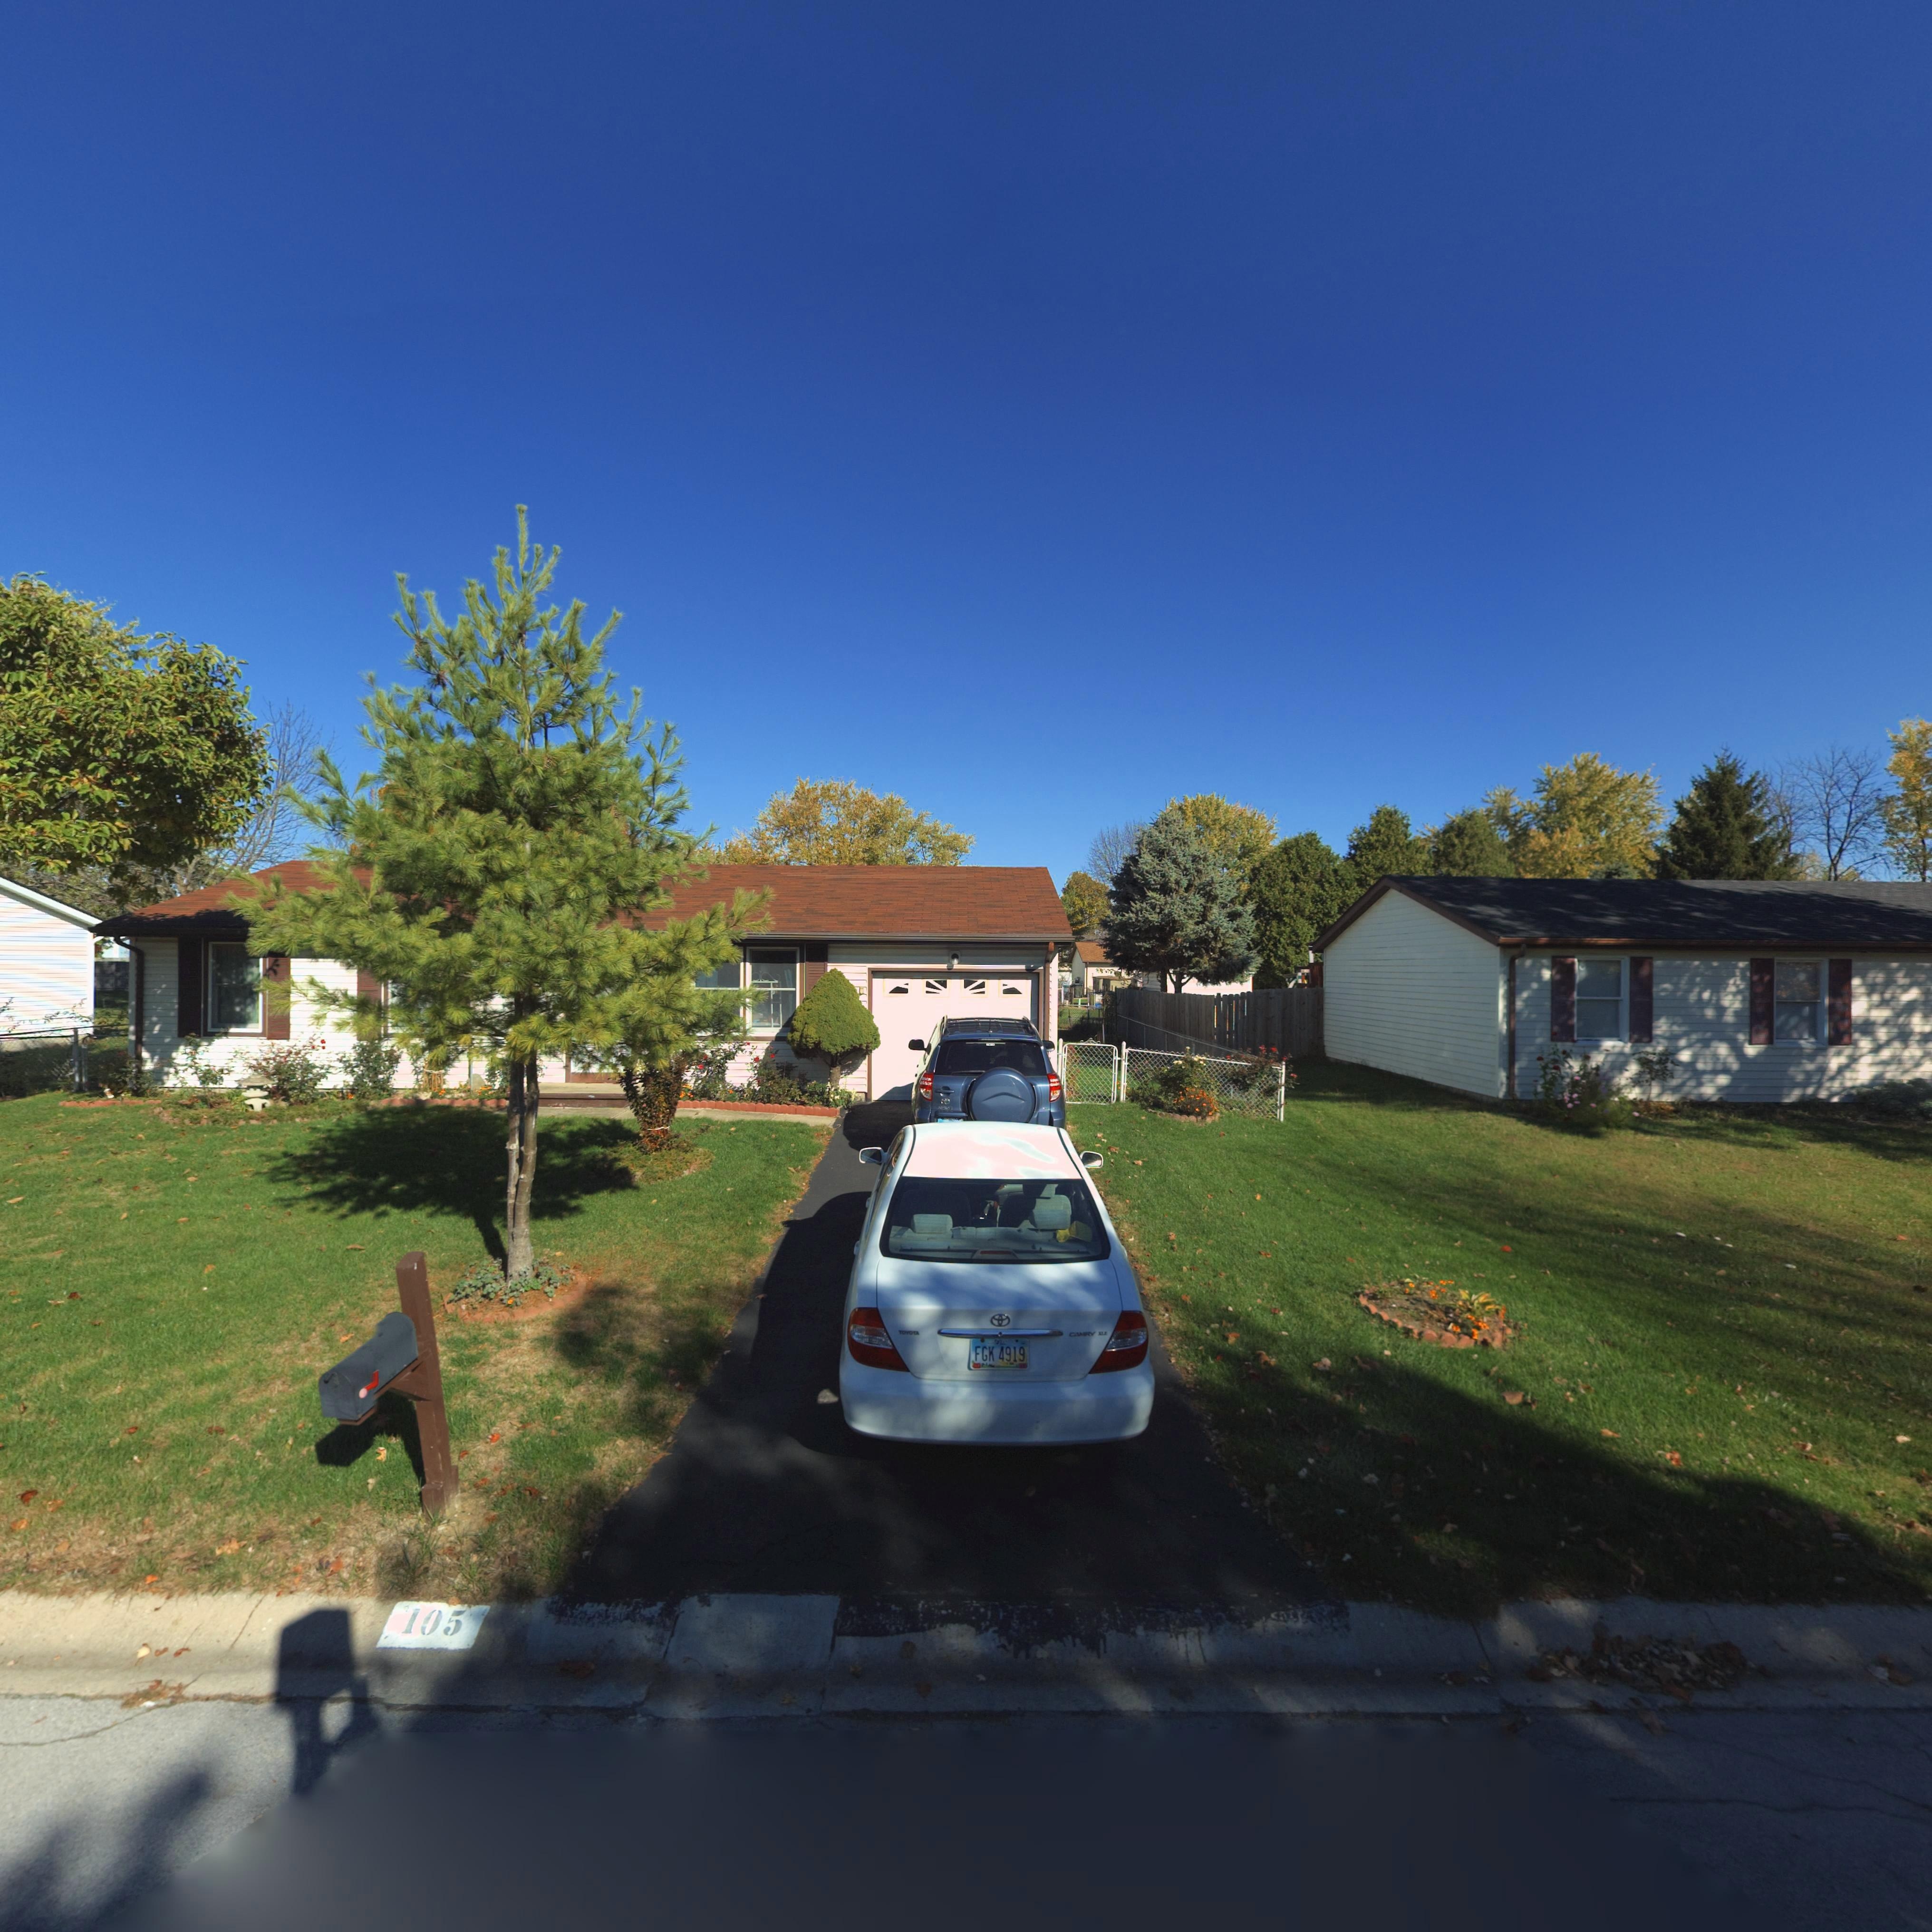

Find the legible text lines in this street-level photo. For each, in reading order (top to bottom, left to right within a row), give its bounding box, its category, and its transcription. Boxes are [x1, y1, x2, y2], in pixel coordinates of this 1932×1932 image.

[397, 1605, 469, 1639] StreetNumber: 105